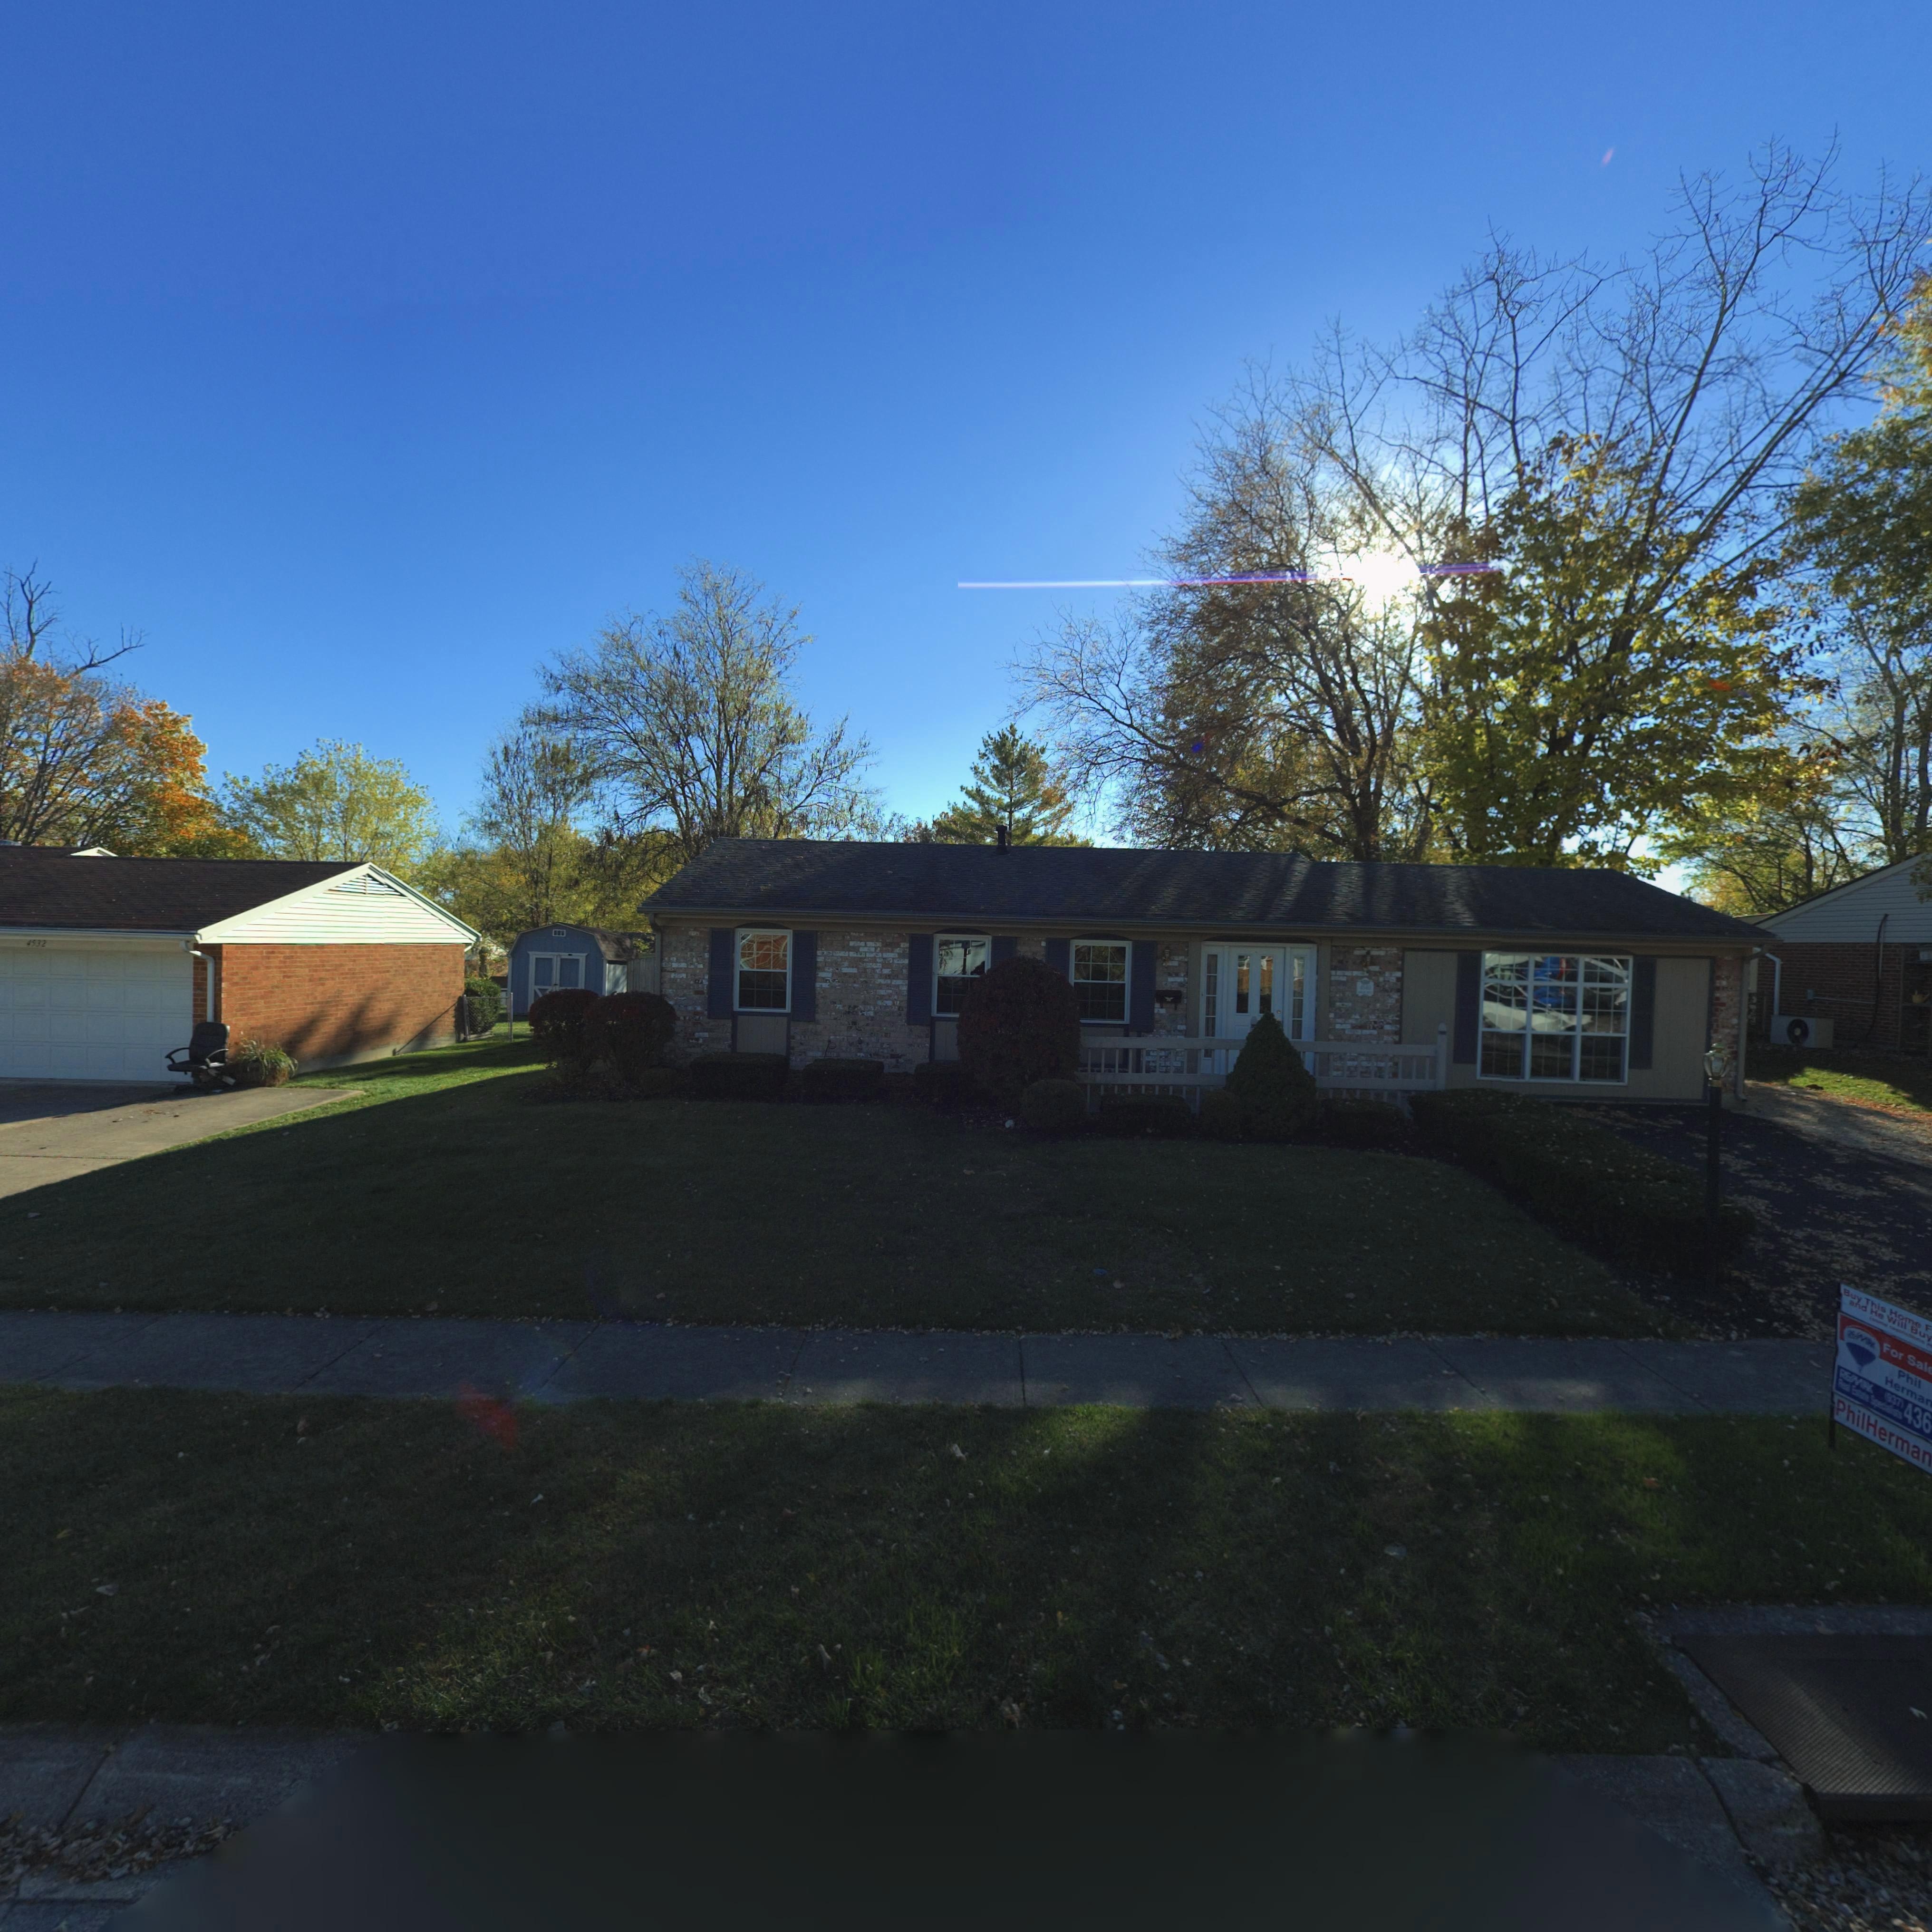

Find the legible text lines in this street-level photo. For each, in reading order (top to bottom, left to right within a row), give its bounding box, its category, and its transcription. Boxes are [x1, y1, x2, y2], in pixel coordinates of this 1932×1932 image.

[26, 939, 47, 947] StreetNumber: 4532
[1359, 984, 1372, 991] StreetNumber: 4540